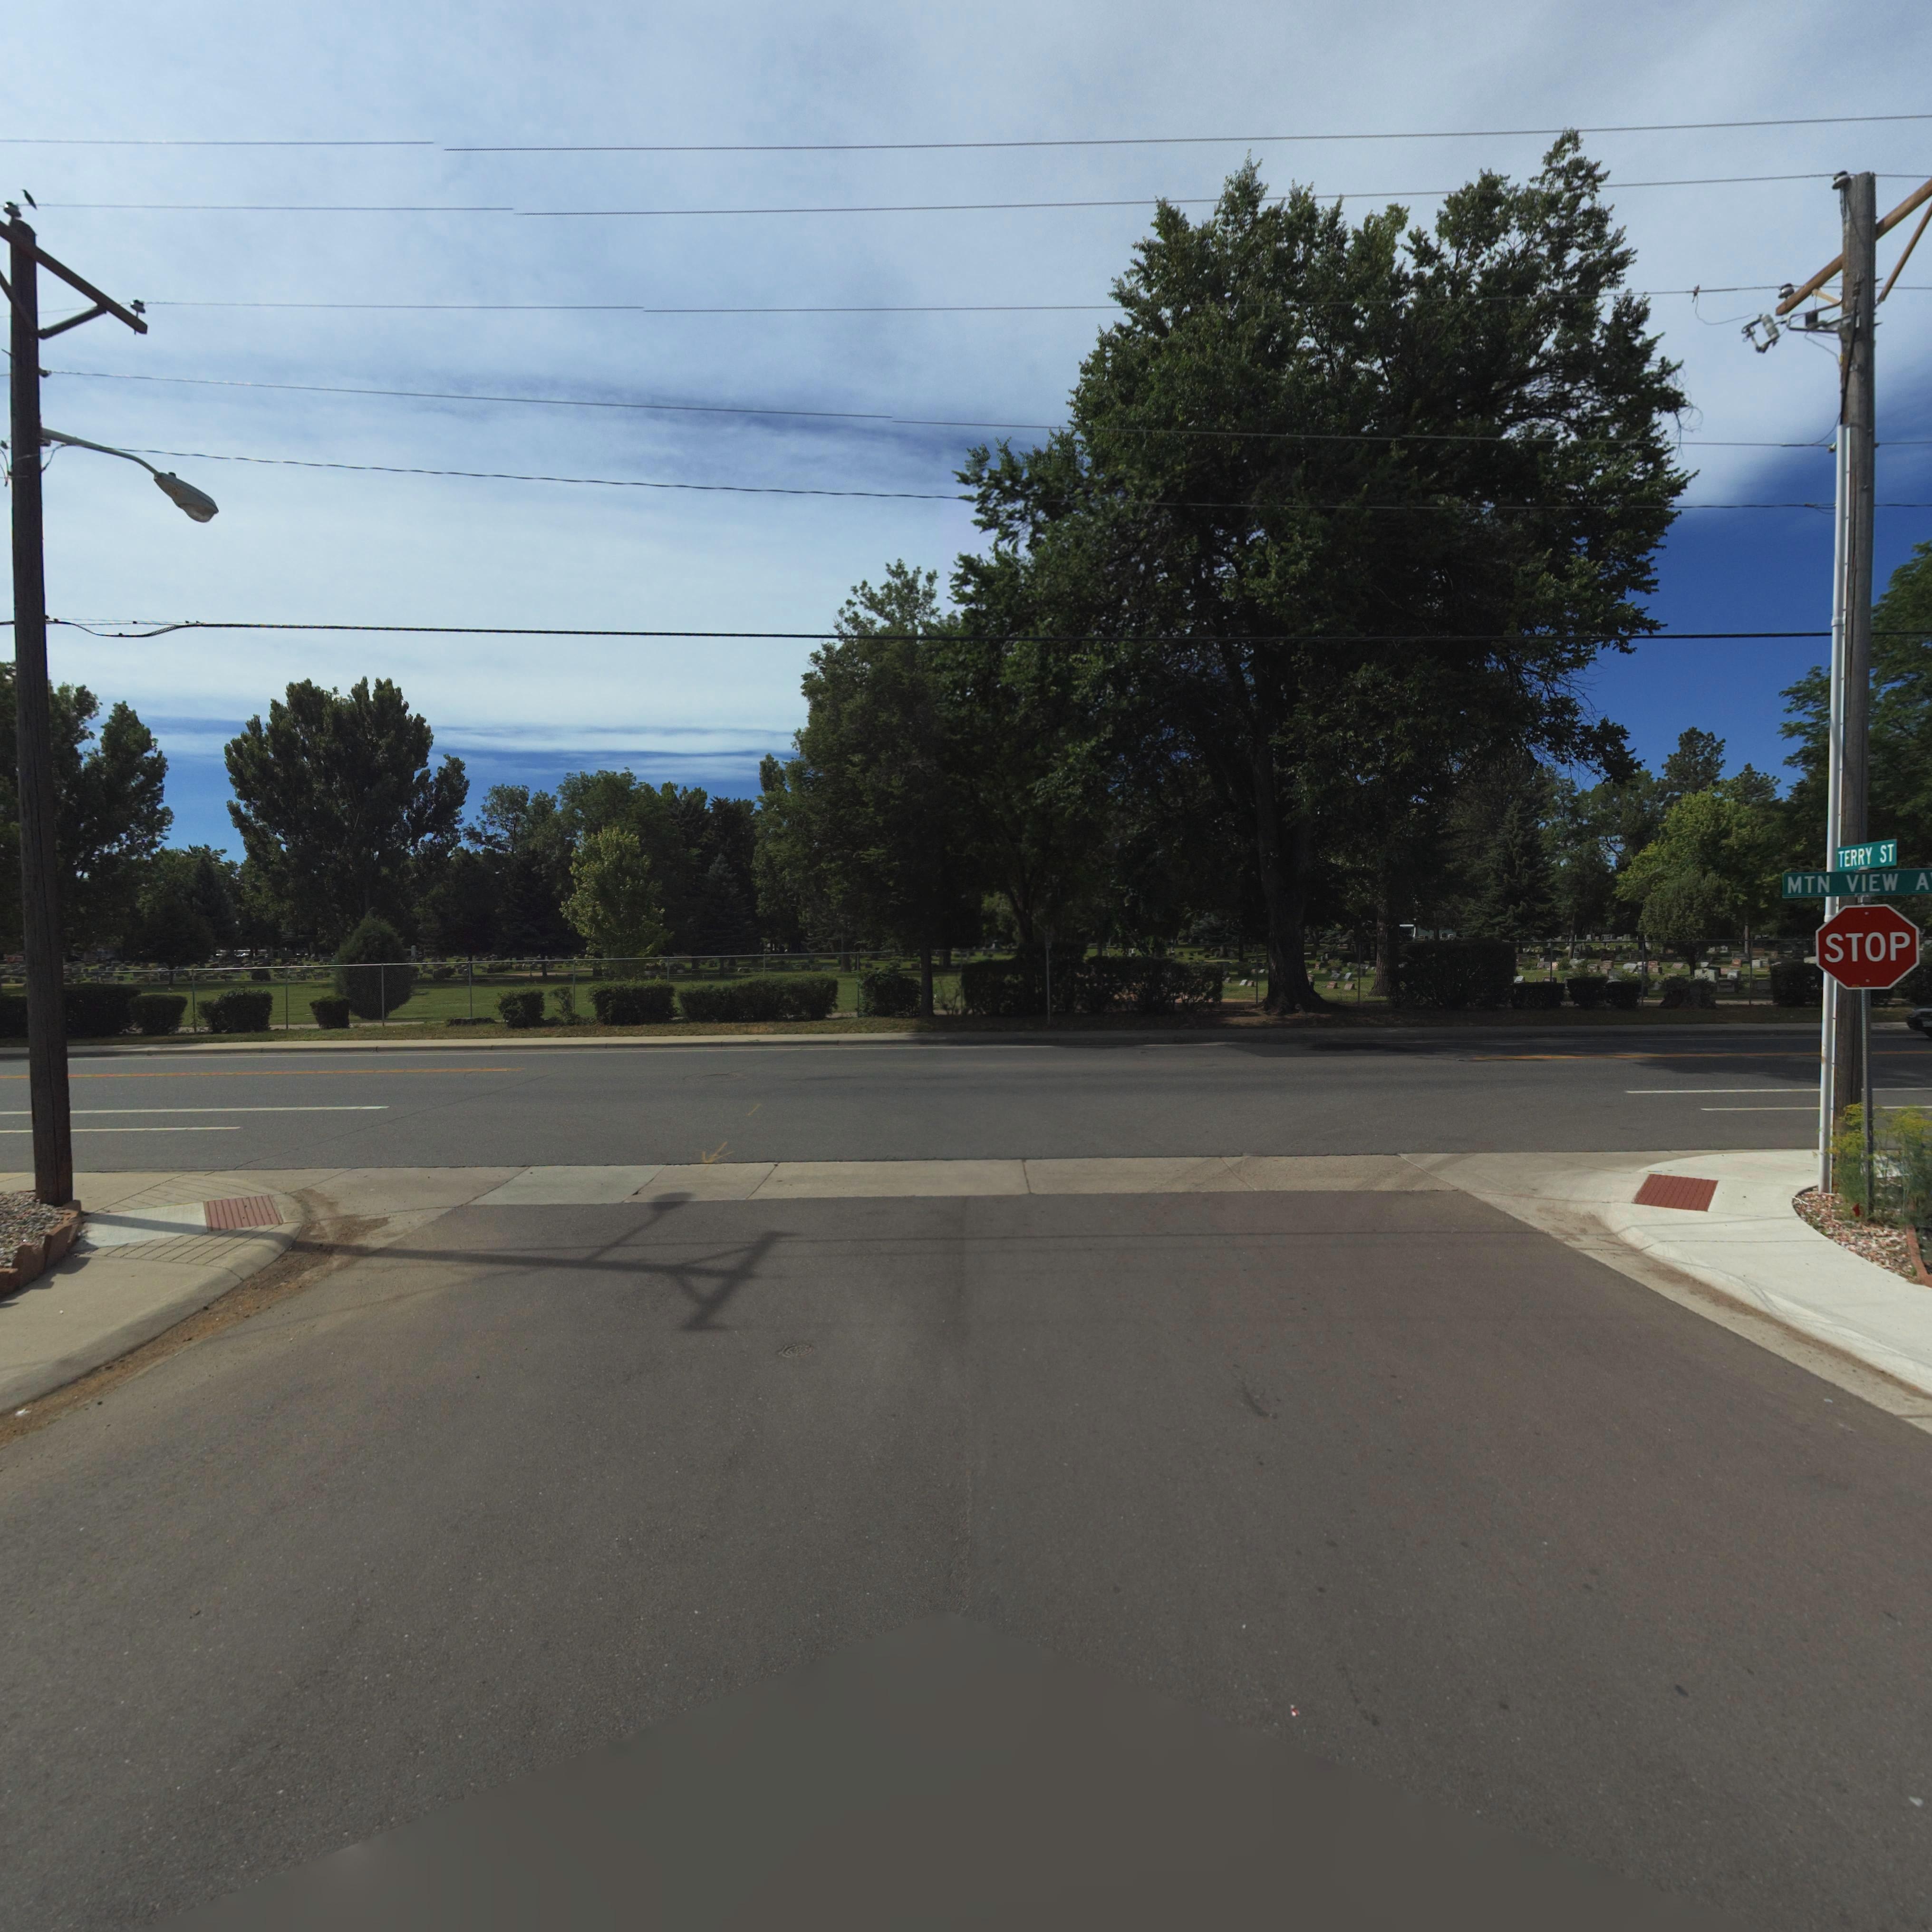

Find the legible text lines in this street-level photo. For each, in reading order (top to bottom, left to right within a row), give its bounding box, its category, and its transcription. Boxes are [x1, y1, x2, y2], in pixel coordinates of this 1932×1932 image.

[1836, 843, 1895, 868] StreetName: TERRY ST
[1787, 872, 1930, 894] StreetName: MTN VIEW A